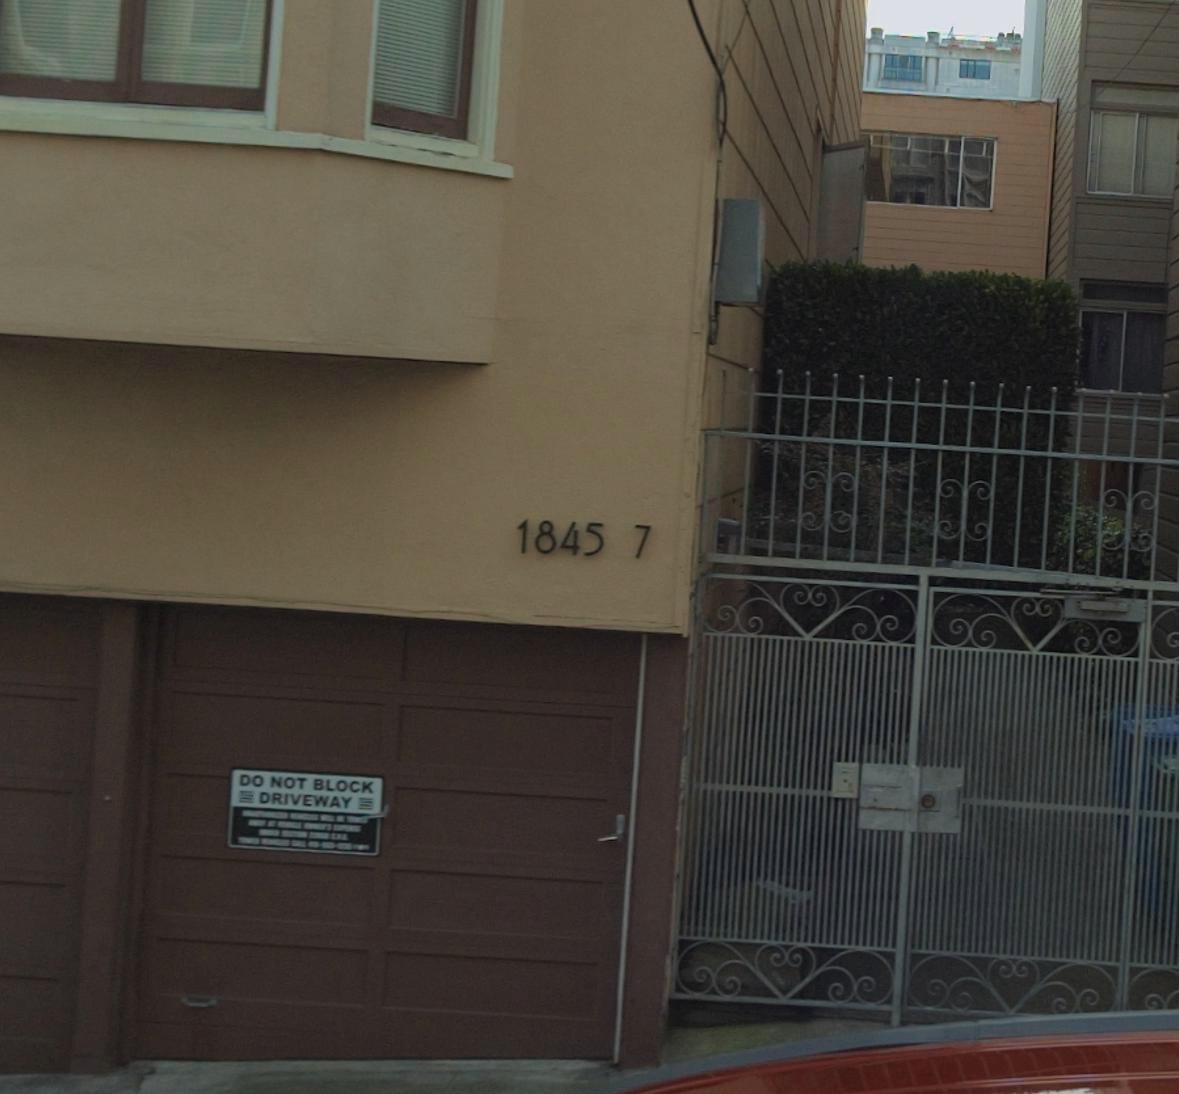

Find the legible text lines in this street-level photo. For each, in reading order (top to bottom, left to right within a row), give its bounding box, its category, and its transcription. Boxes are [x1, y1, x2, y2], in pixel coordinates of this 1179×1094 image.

[513, 514, 657, 564] StreetNumber: 1845 7
[236, 770, 378, 796] None: DO NOT BLOCK
[256, 788, 357, 812] None: DRIVEWAY